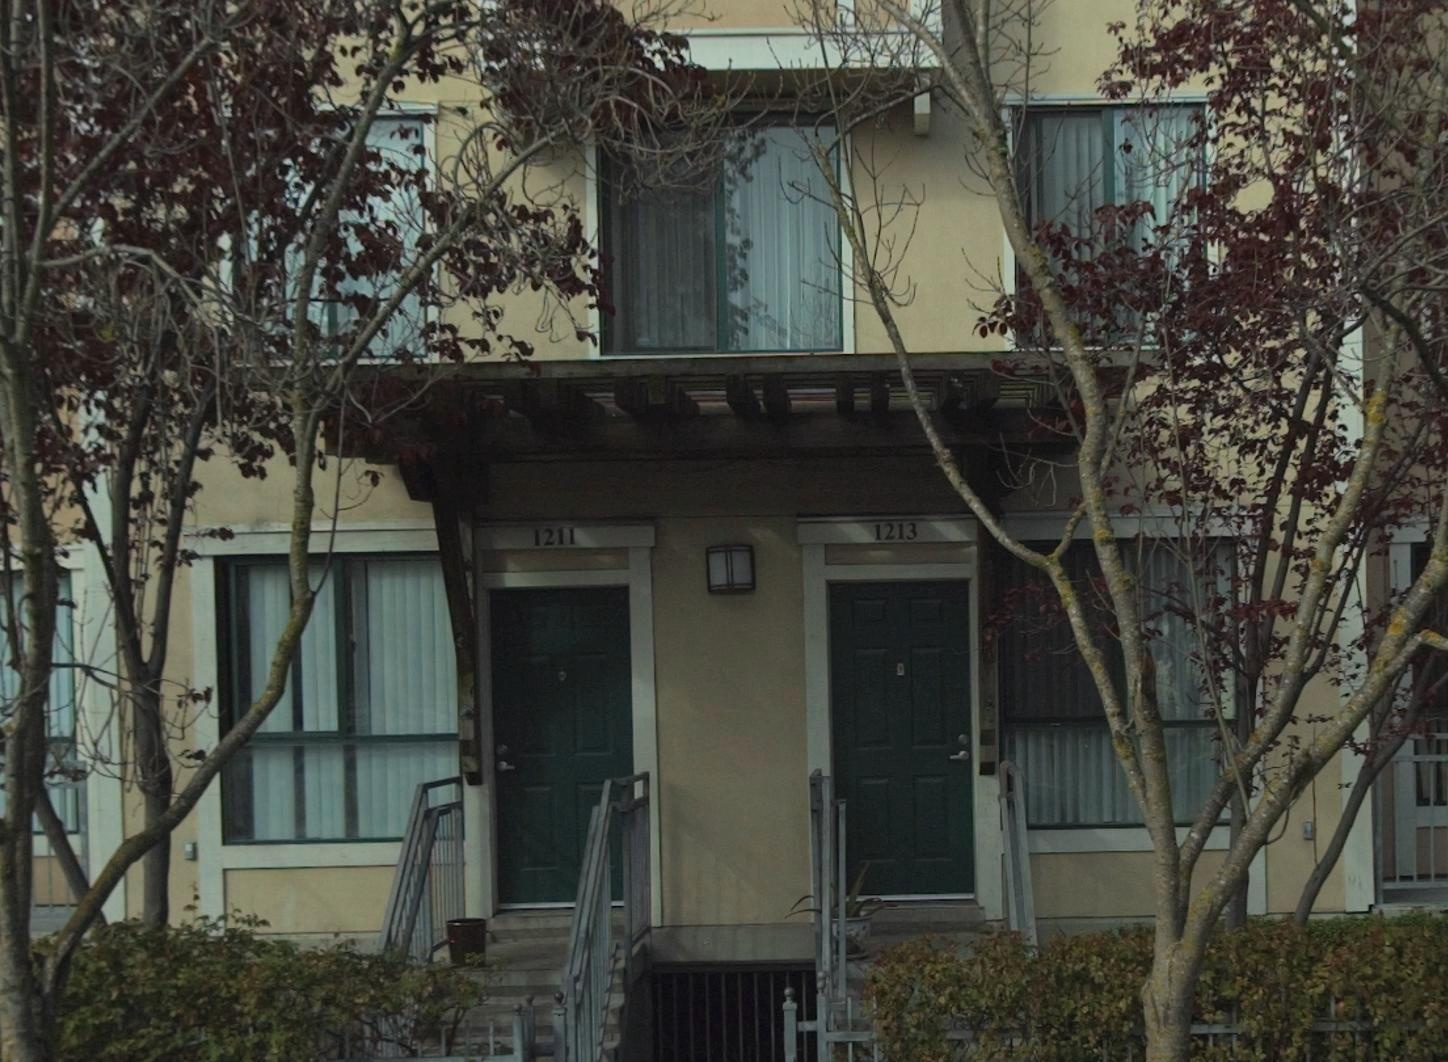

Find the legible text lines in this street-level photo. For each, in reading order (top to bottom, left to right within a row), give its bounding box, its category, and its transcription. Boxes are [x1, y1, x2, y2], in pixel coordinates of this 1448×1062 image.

[532, 524, 578, 549] StreetNumber: 1211
[872, 520, 920, 543] StreetNumber: 1213